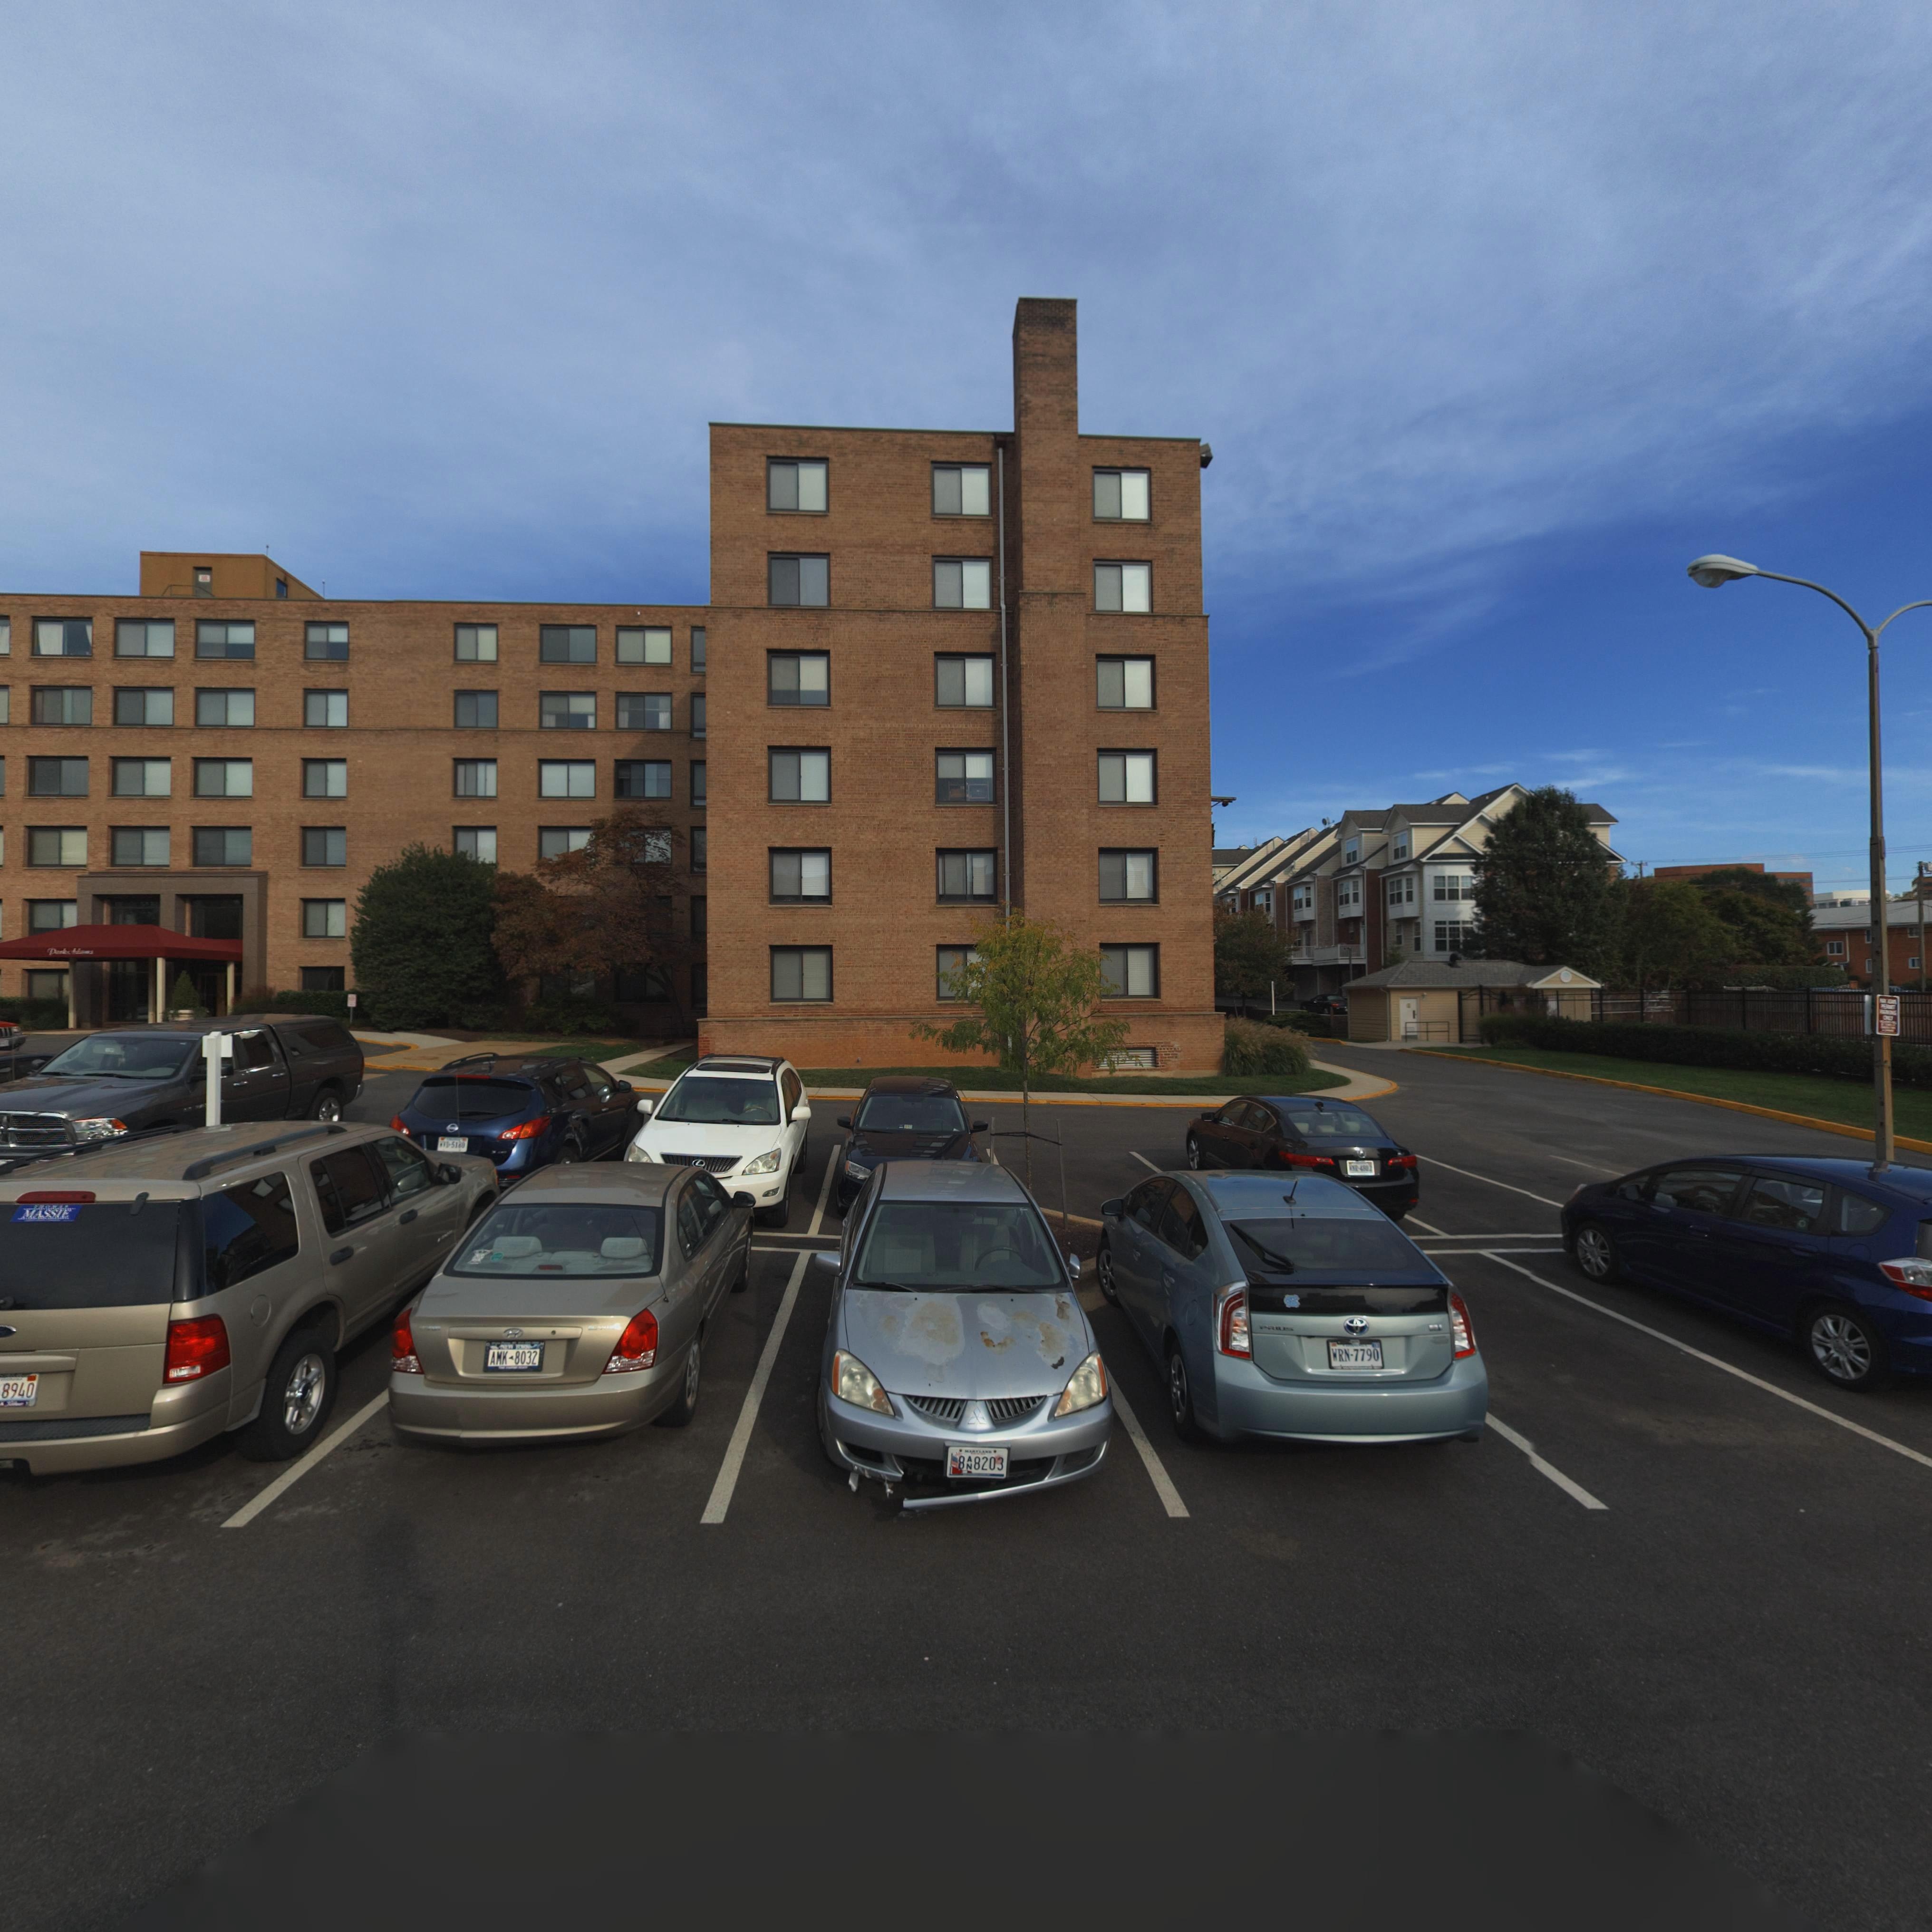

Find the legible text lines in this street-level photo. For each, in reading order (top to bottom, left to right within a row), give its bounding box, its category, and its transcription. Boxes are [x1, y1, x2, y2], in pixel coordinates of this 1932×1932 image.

[47, 947, 95, 957] BusinessName: Park *d**s
[445, 1140, 467, 1149] None: D-5180
[1360, 1165, 1373, 1172] None: 480 2
[20, 1207, 73, 1219] None: MASSIE
[487, 1349, 540, 1367] None: AMK*8032
[1330, 1347, 1381, 1362] None: WRN-7790
[0, 1381, 36, 1401] None: 8940
[956, 1454, 966, 1472] None: 8
[966, 1454, 973, 1472] None: AN
[973, 1455, 1006, 1472] None: 8203